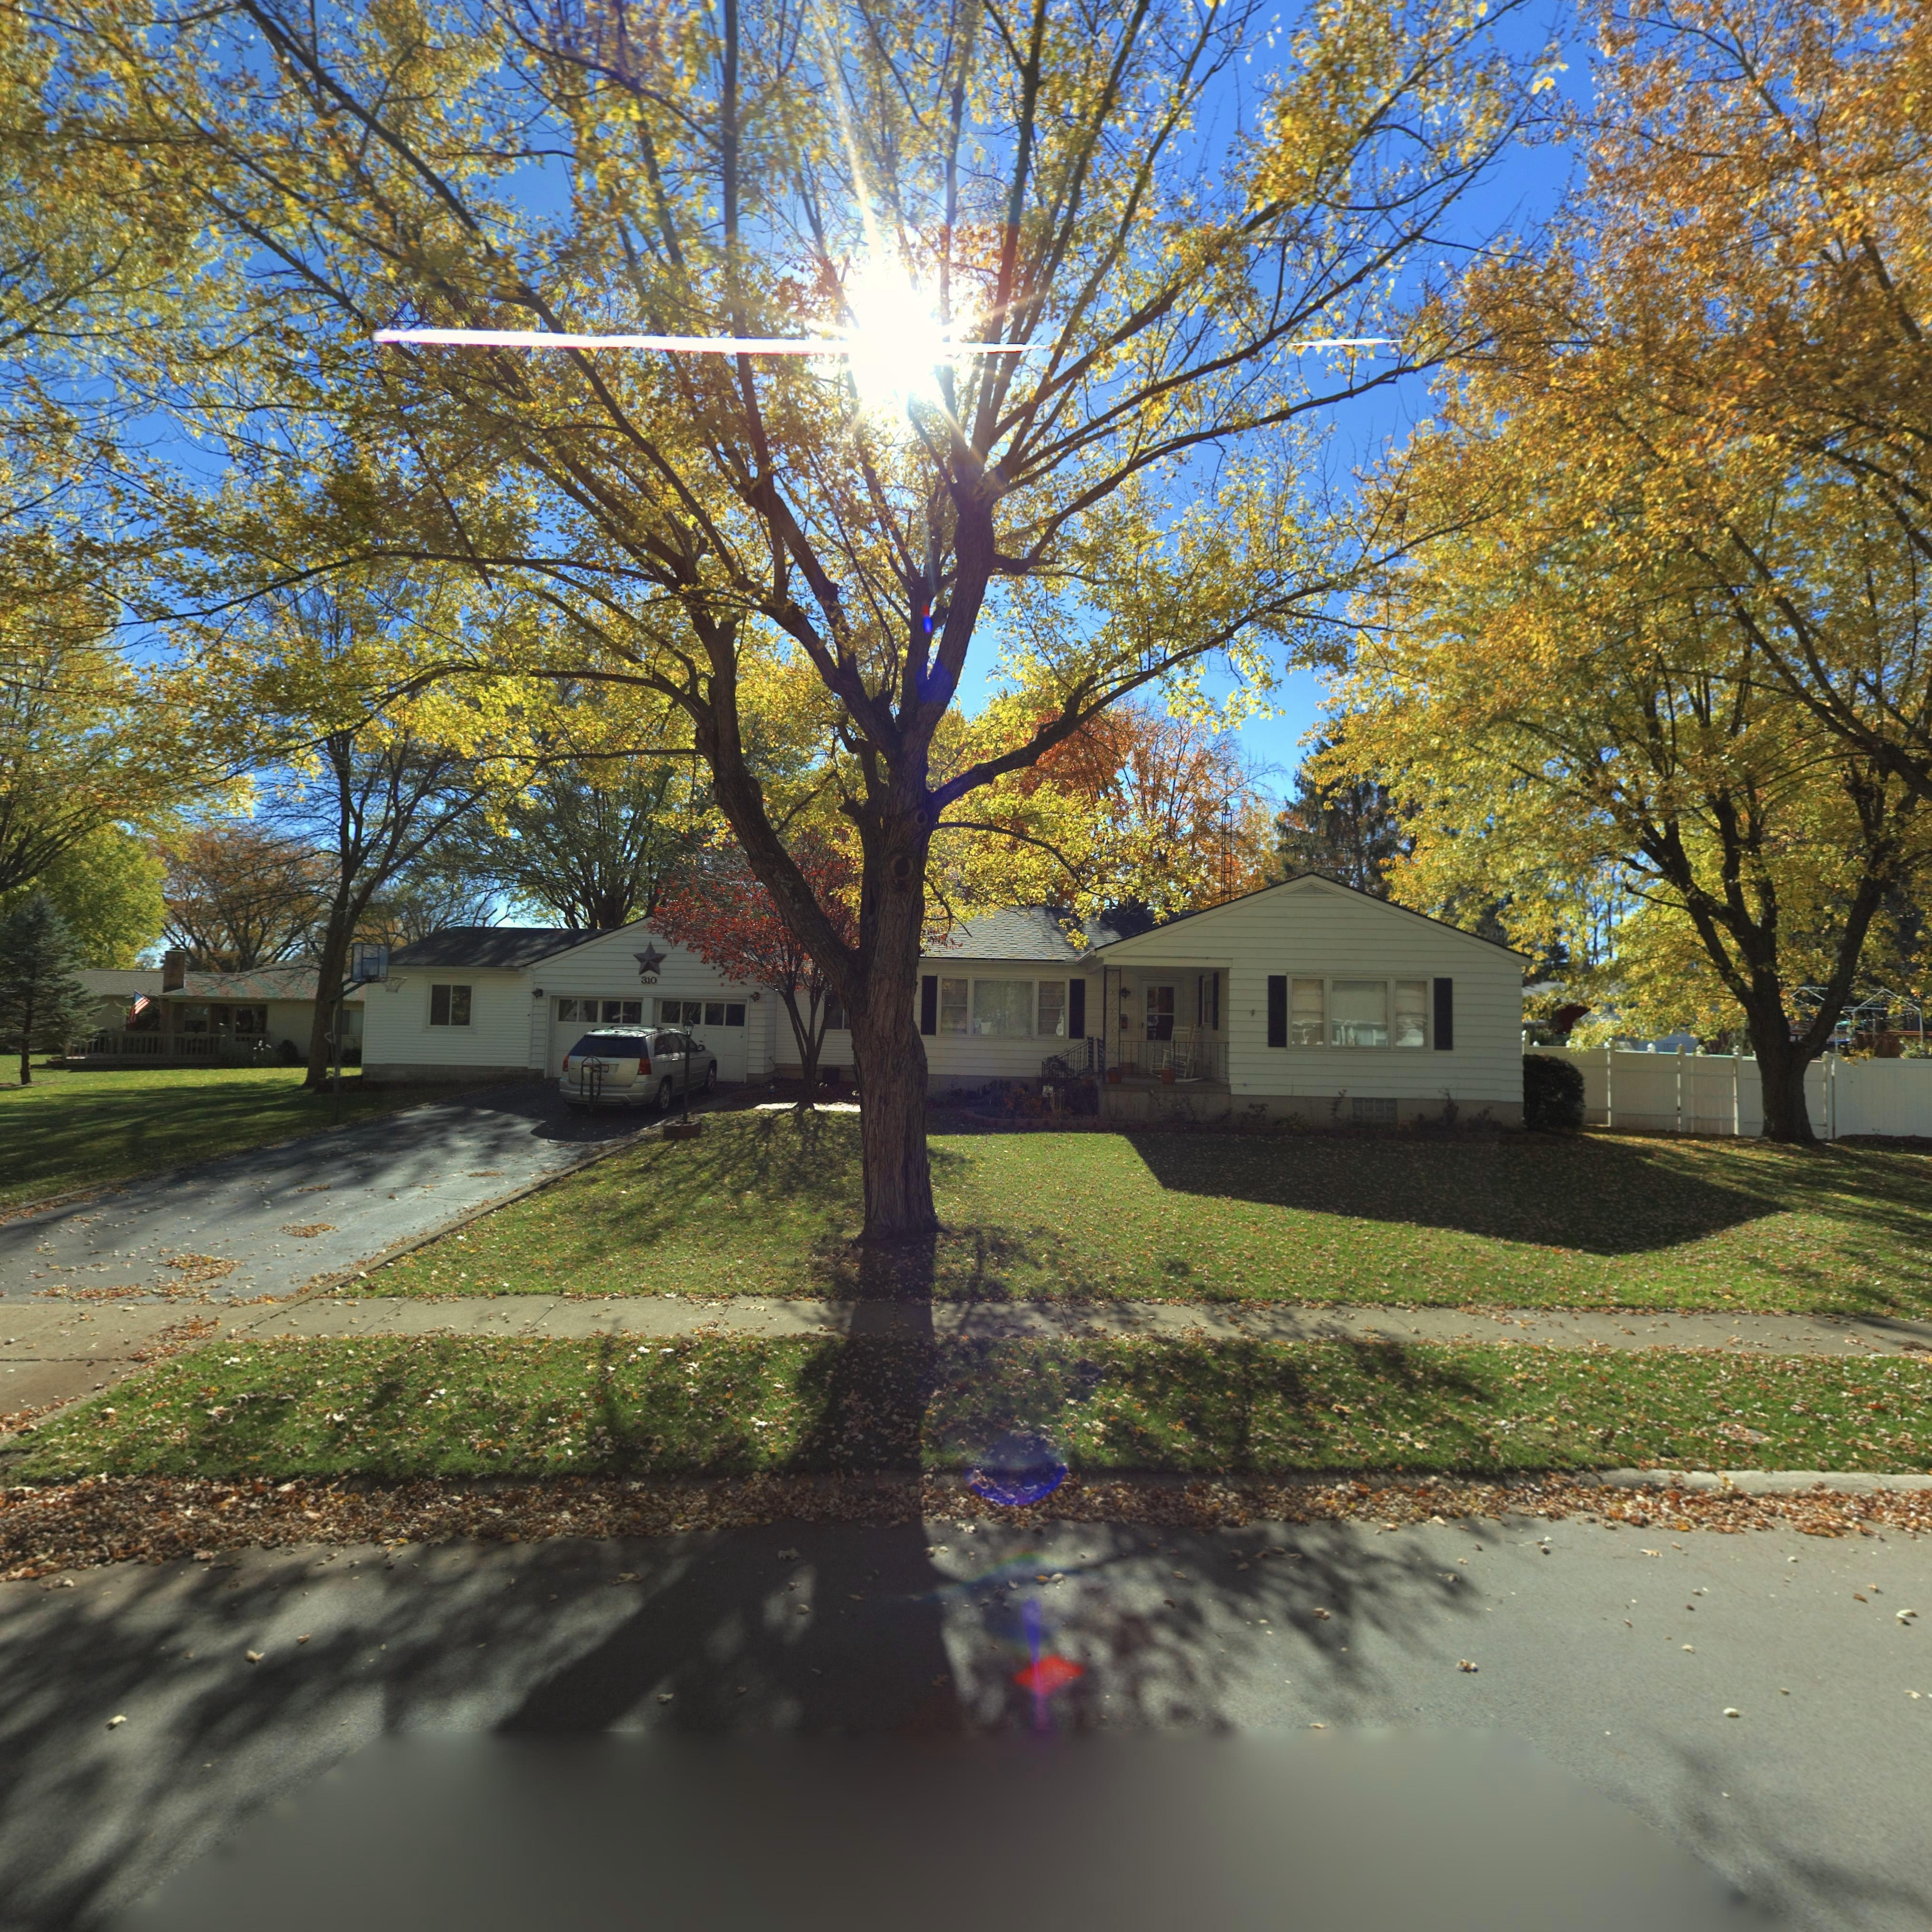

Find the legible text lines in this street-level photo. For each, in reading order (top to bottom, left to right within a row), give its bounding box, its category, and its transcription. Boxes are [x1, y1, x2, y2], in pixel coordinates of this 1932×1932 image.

[640, 976, 658, 985] StreetNumber: 310